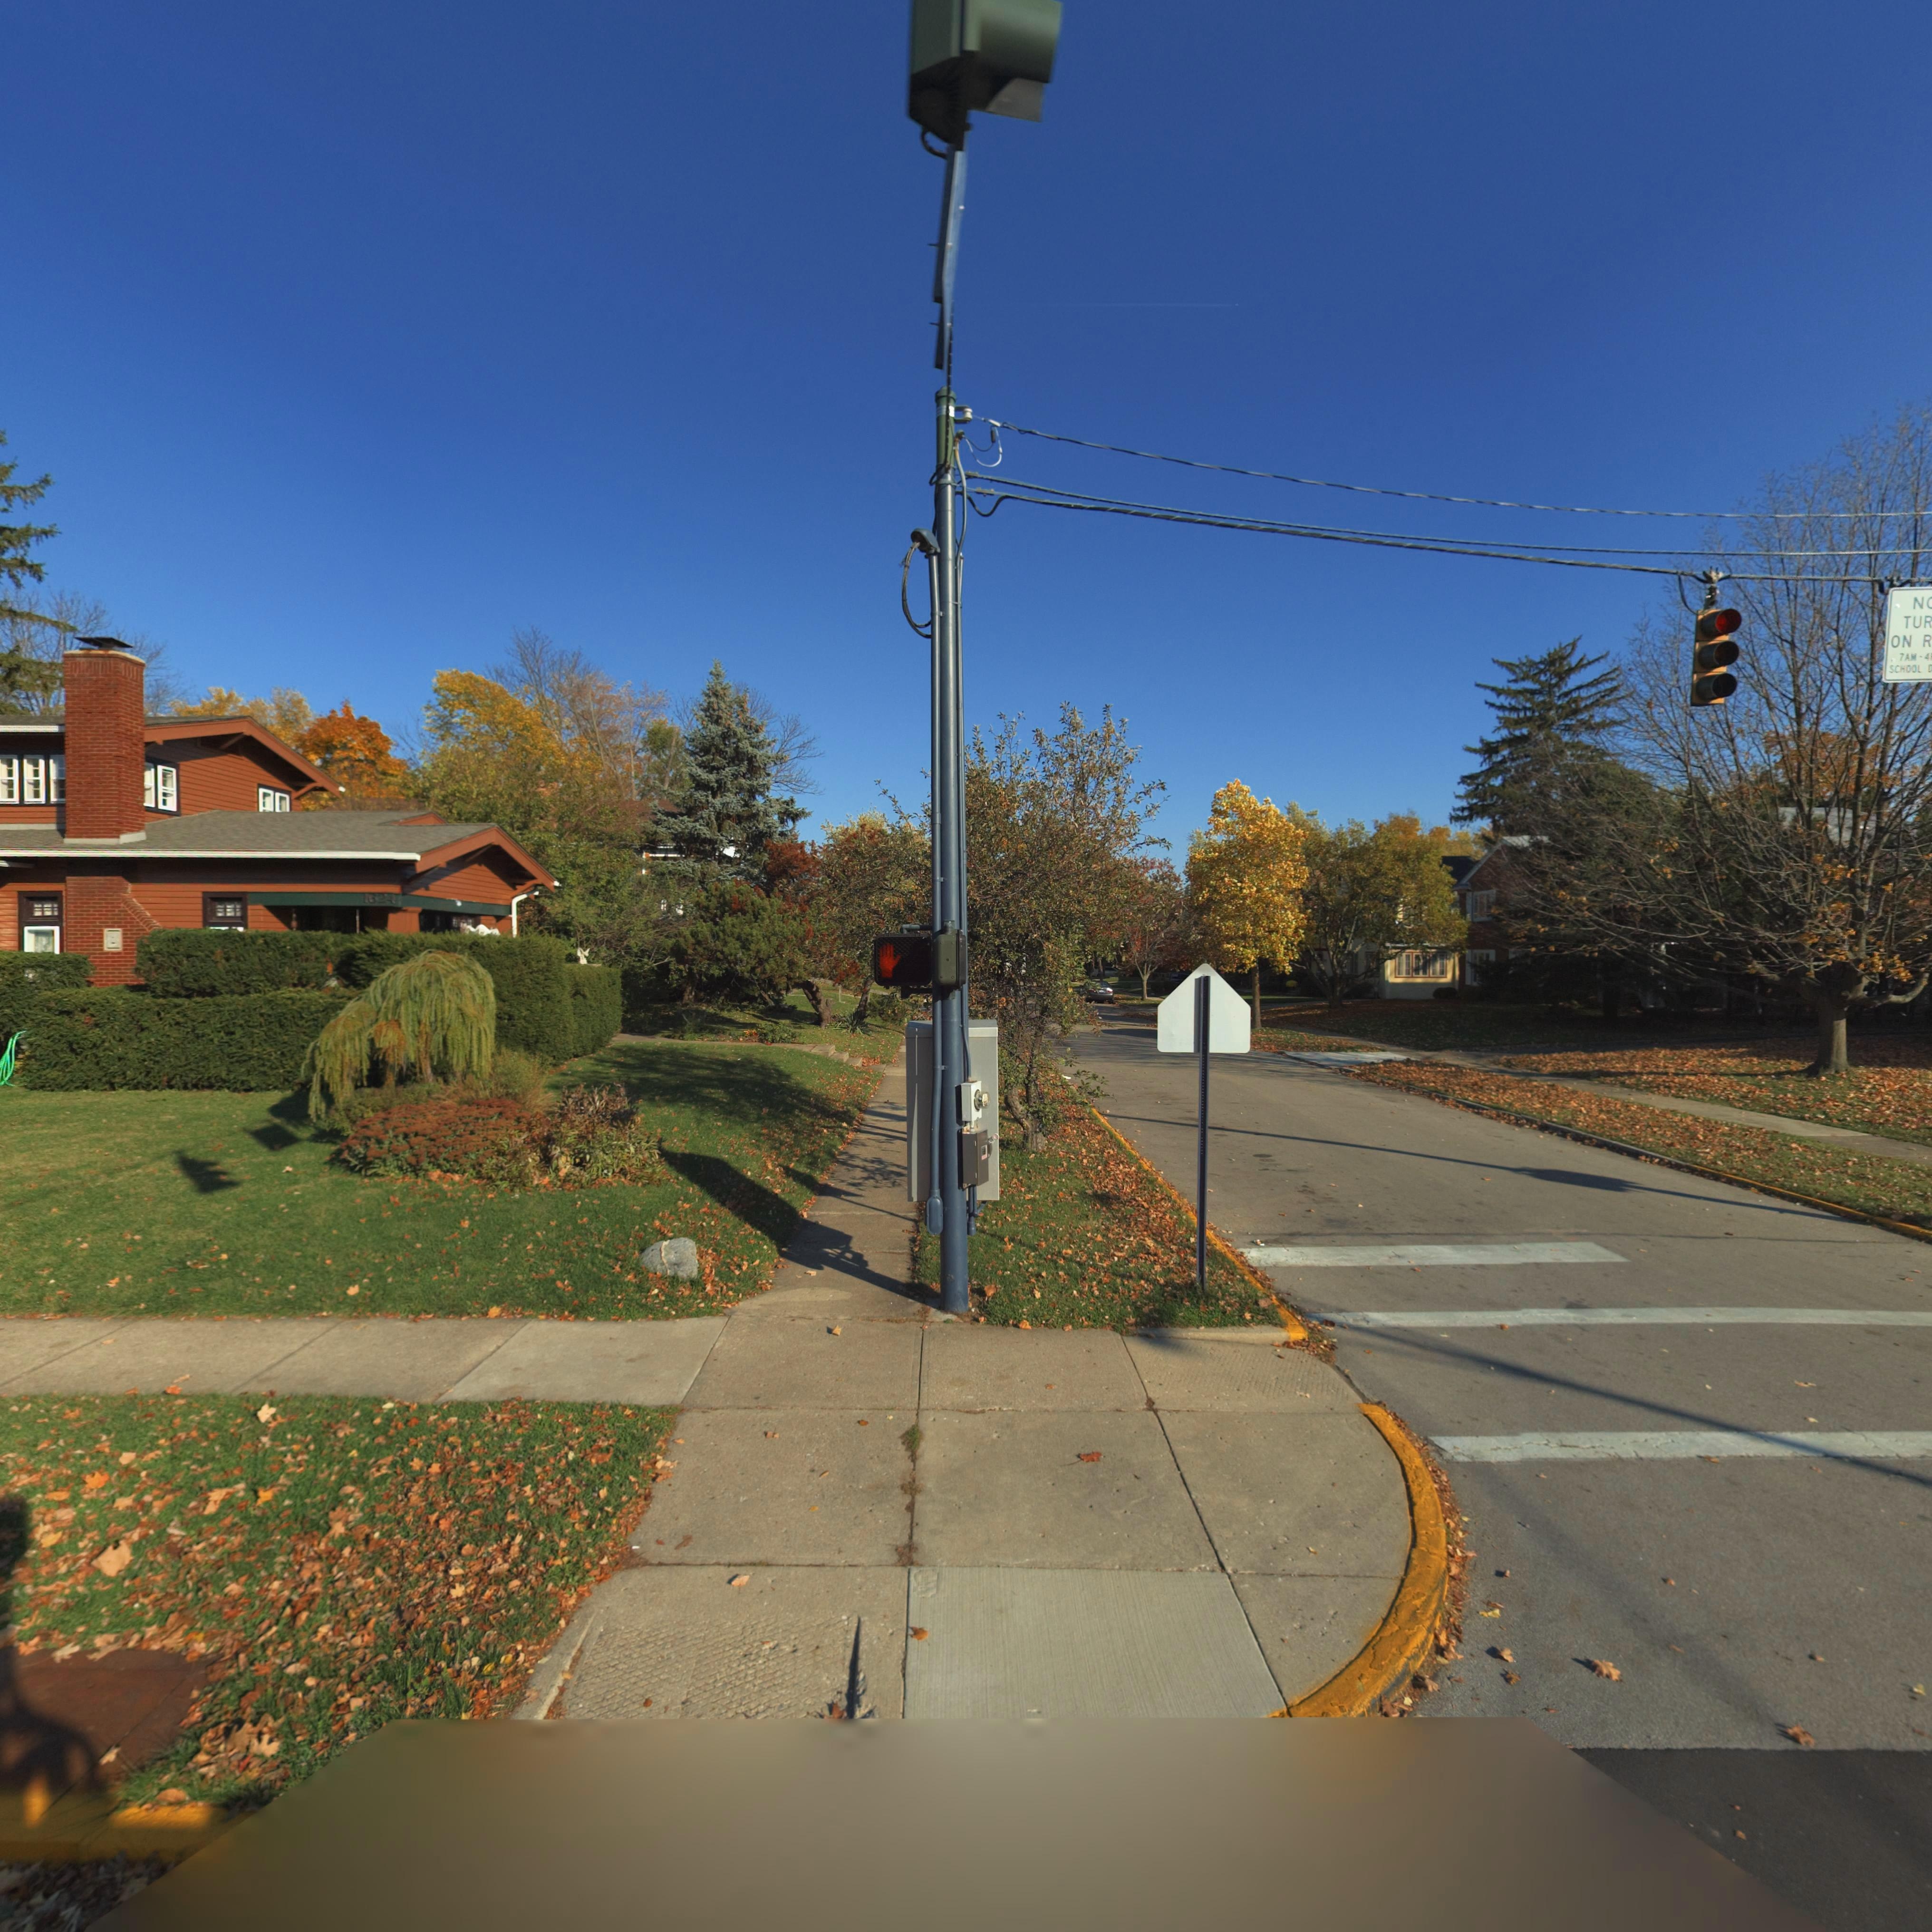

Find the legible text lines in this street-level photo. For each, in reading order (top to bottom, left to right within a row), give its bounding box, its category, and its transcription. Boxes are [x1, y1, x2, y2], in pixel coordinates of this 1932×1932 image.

[361, 892, 396, 903] StreetNumber: 1624